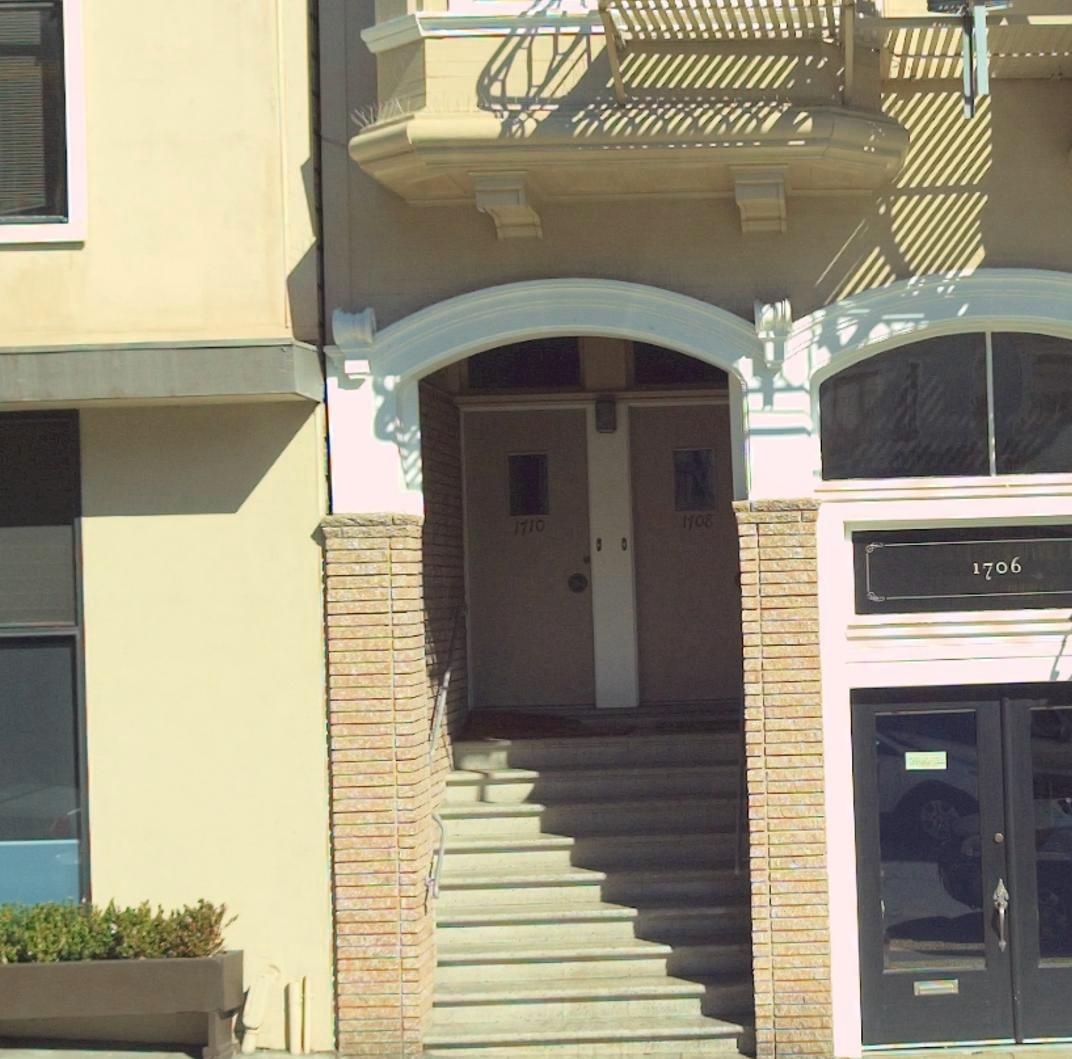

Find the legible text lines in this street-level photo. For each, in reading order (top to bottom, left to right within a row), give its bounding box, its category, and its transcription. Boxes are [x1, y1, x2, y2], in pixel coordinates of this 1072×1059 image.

[513, 518, 546, 538] StreetNumber: 1710
[682, 512, 715, 532] StreetNumber: 1708
[971, 555, 1023, 583] StreetNumber: 1706